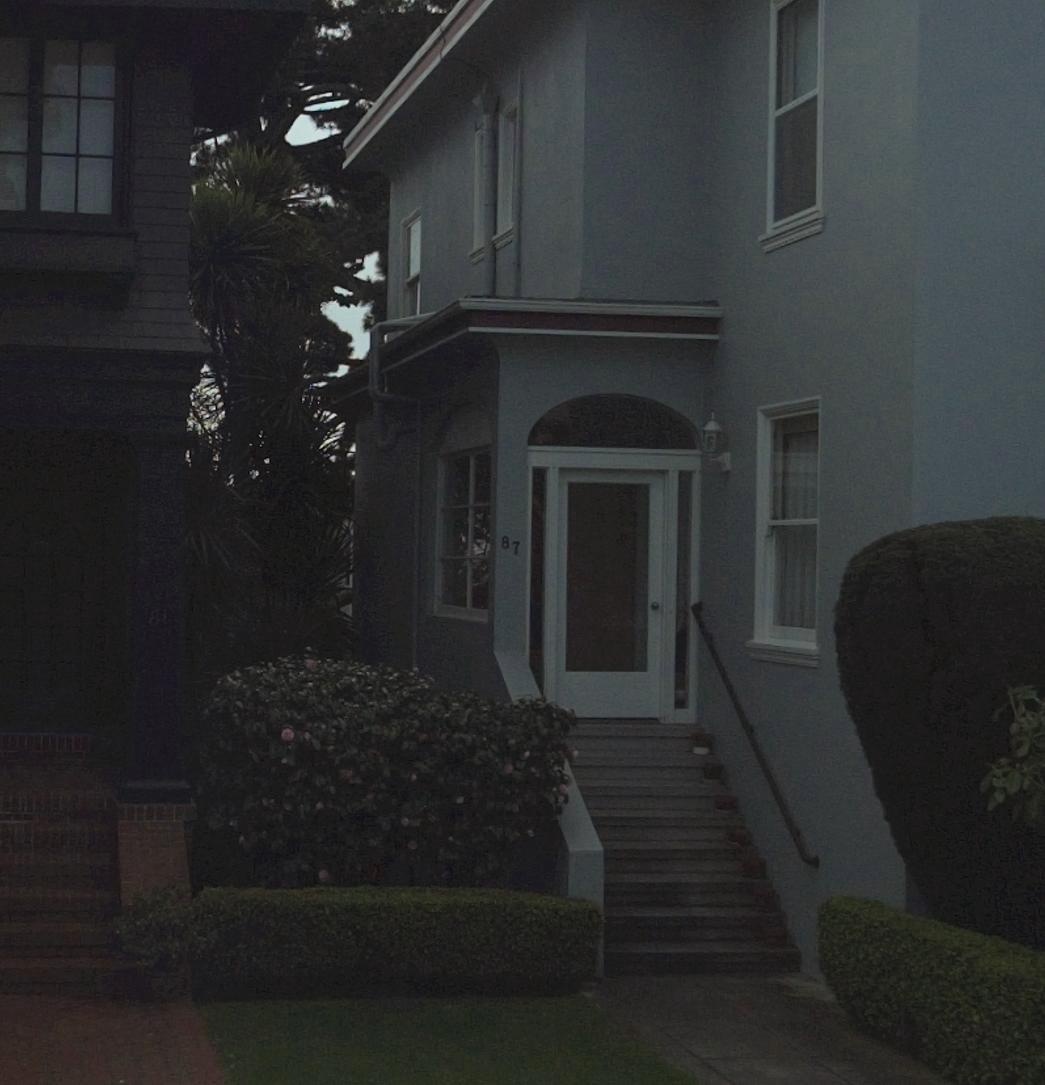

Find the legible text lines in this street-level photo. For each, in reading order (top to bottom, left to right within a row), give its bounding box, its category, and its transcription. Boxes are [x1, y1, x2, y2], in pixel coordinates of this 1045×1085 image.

[500, 533, 521, 558] StreetNumber: 87